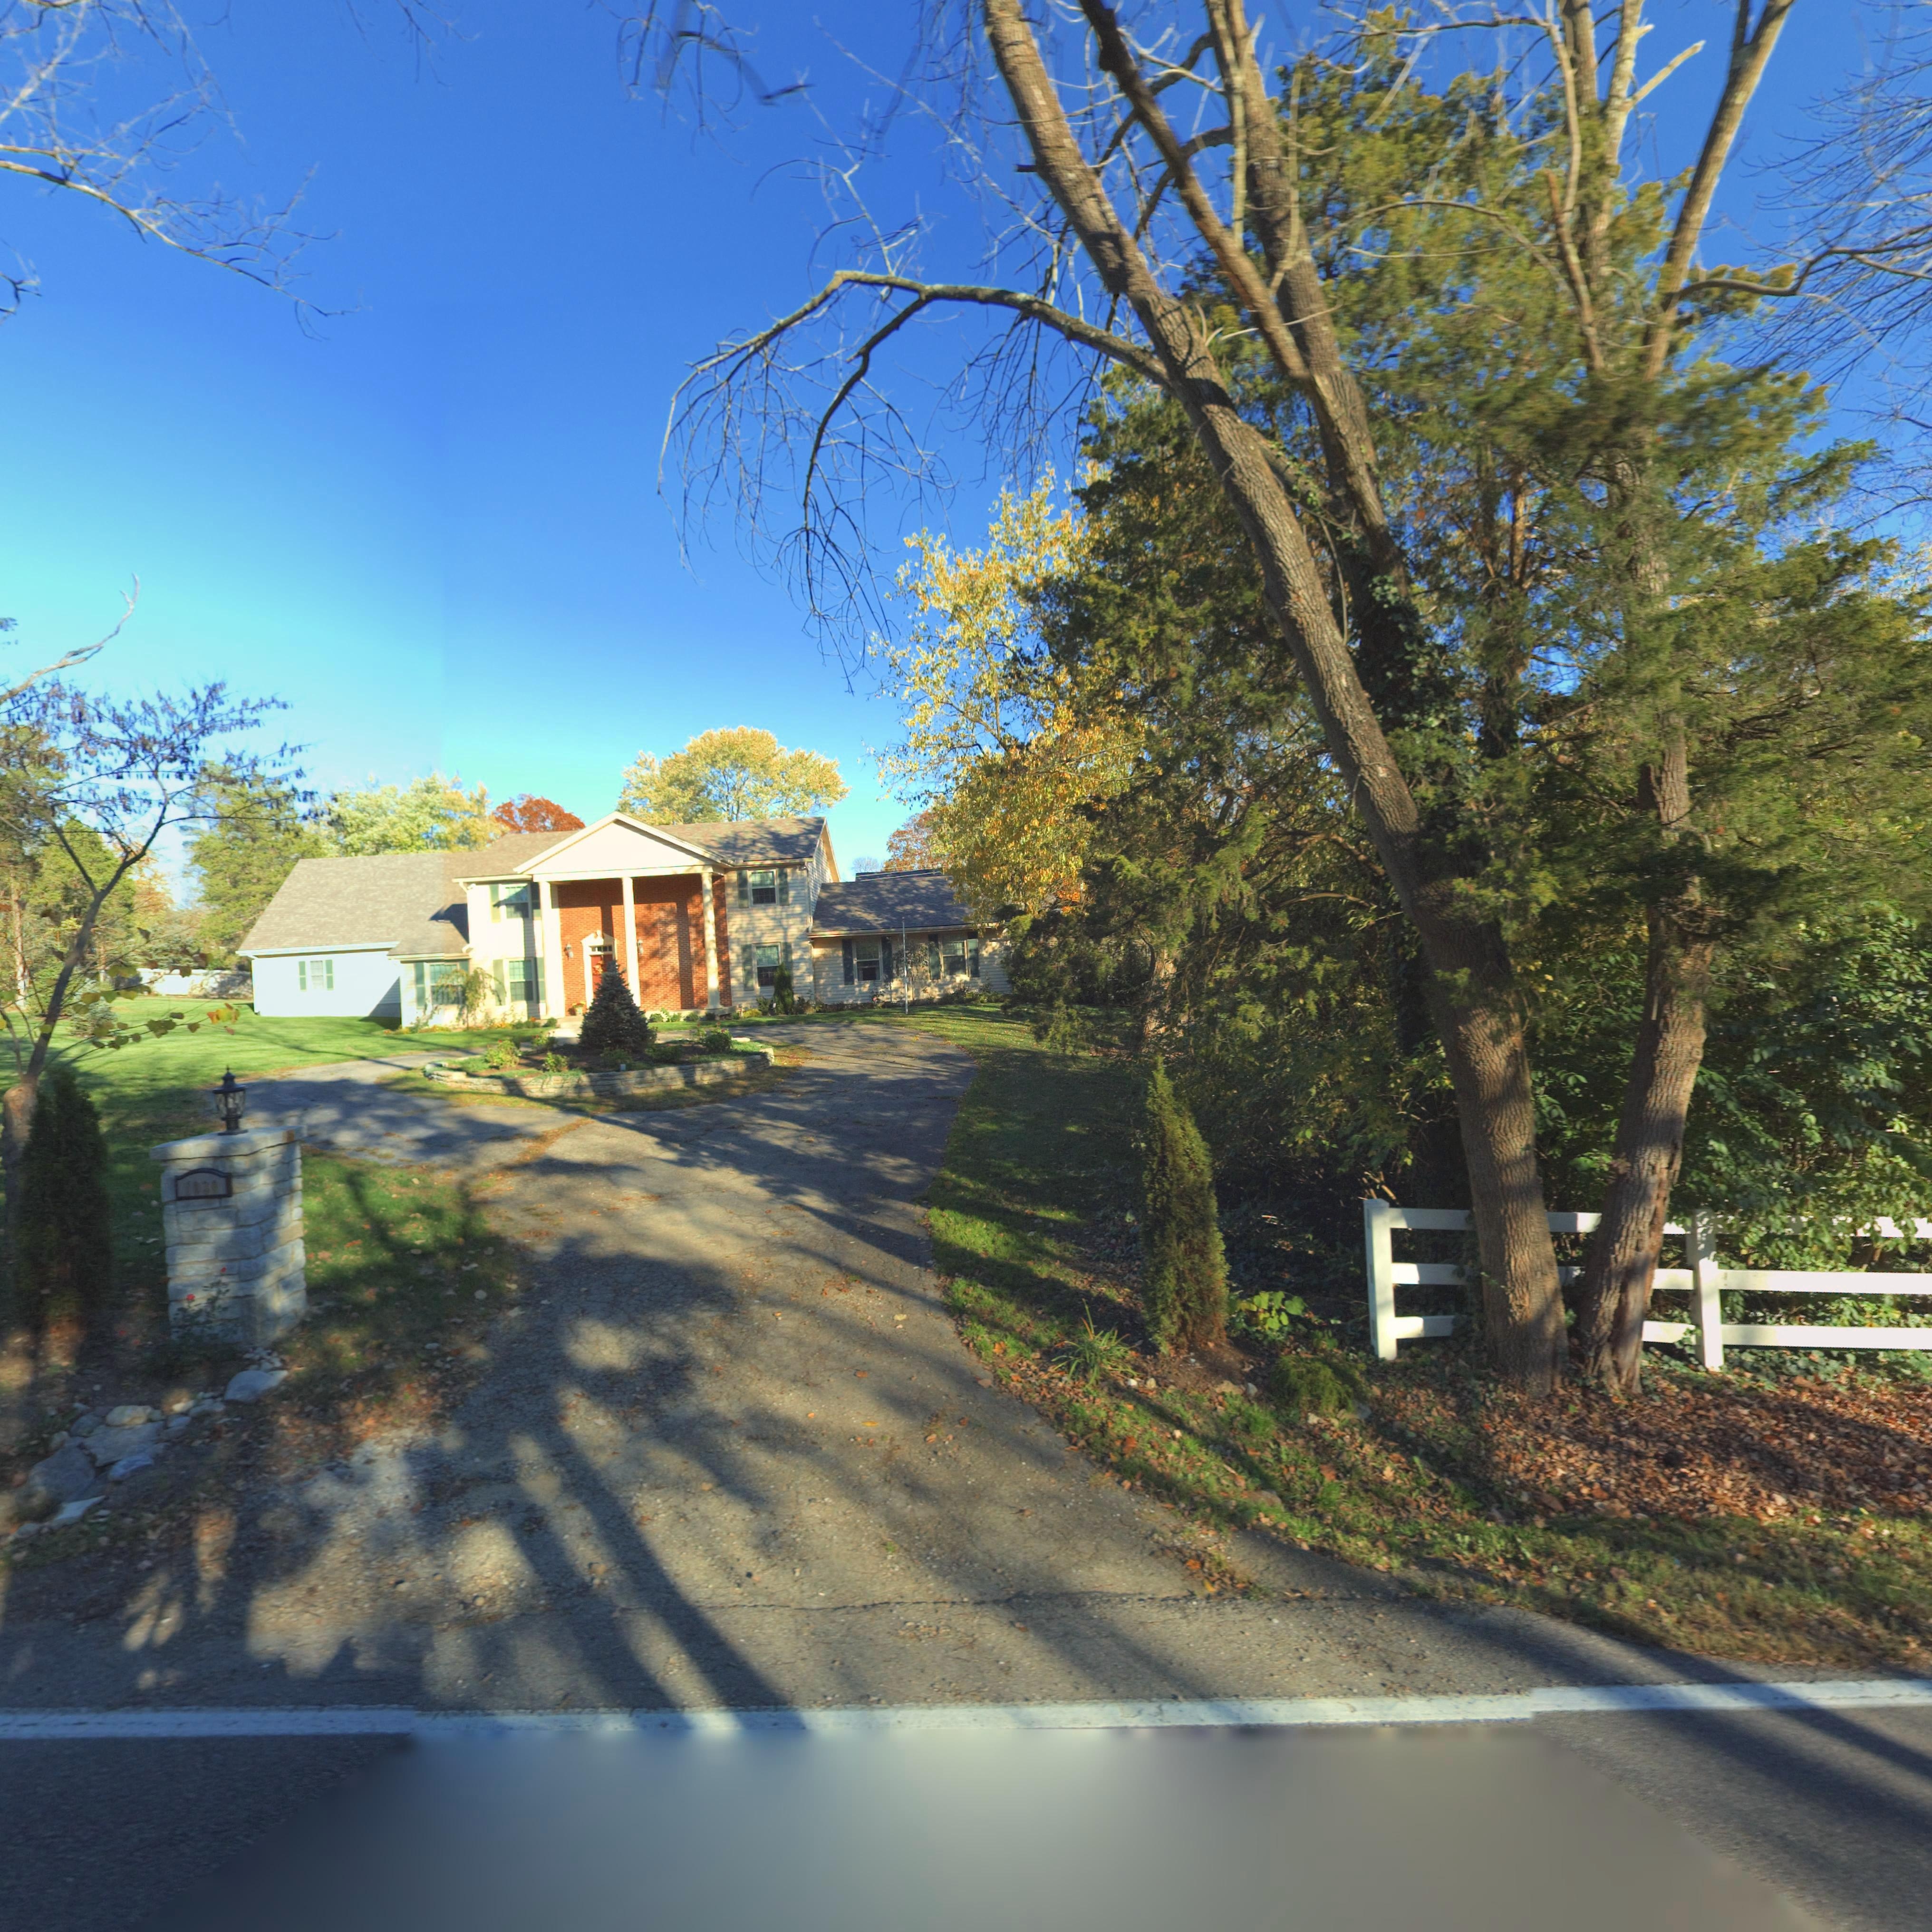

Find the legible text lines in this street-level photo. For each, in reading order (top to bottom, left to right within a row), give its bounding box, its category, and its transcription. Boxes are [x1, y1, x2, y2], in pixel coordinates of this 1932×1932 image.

[183, 1179, 220, 1196] StreetNumber: 1030